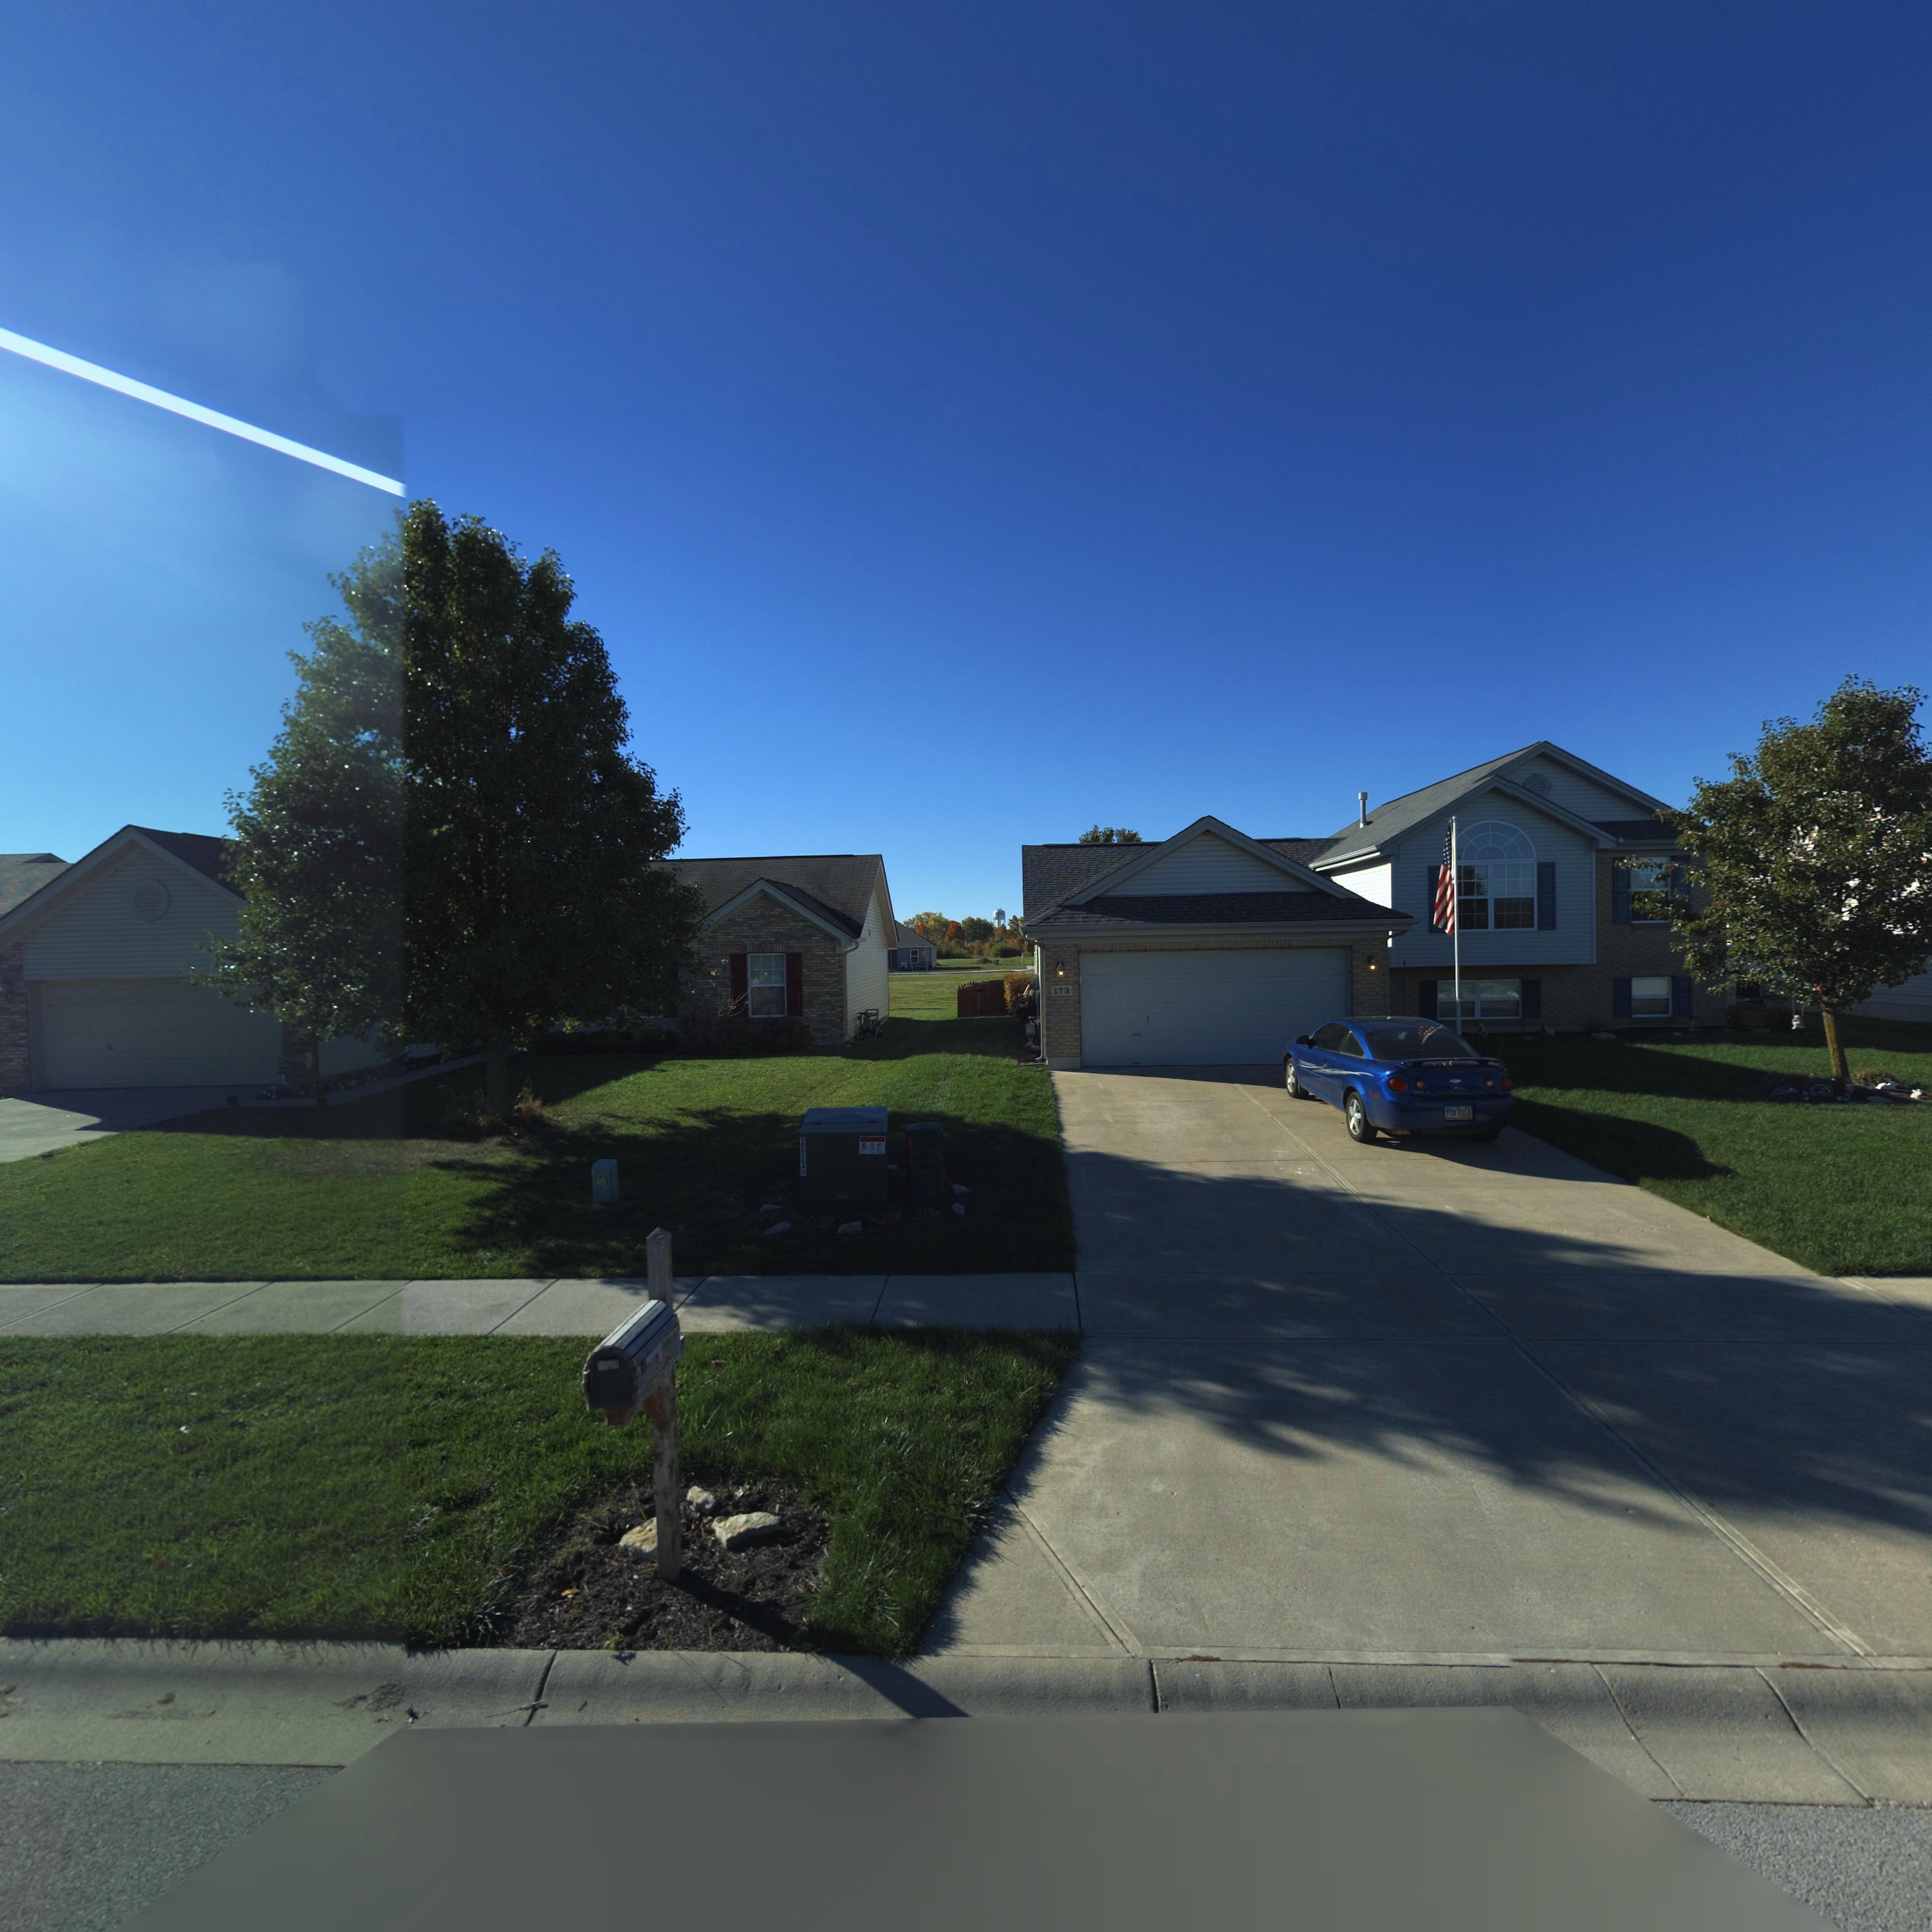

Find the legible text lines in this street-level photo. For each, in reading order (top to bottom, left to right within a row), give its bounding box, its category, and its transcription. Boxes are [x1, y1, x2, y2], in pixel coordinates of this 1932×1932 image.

[1053, 987, 1070, 994] StreetNumber: 173